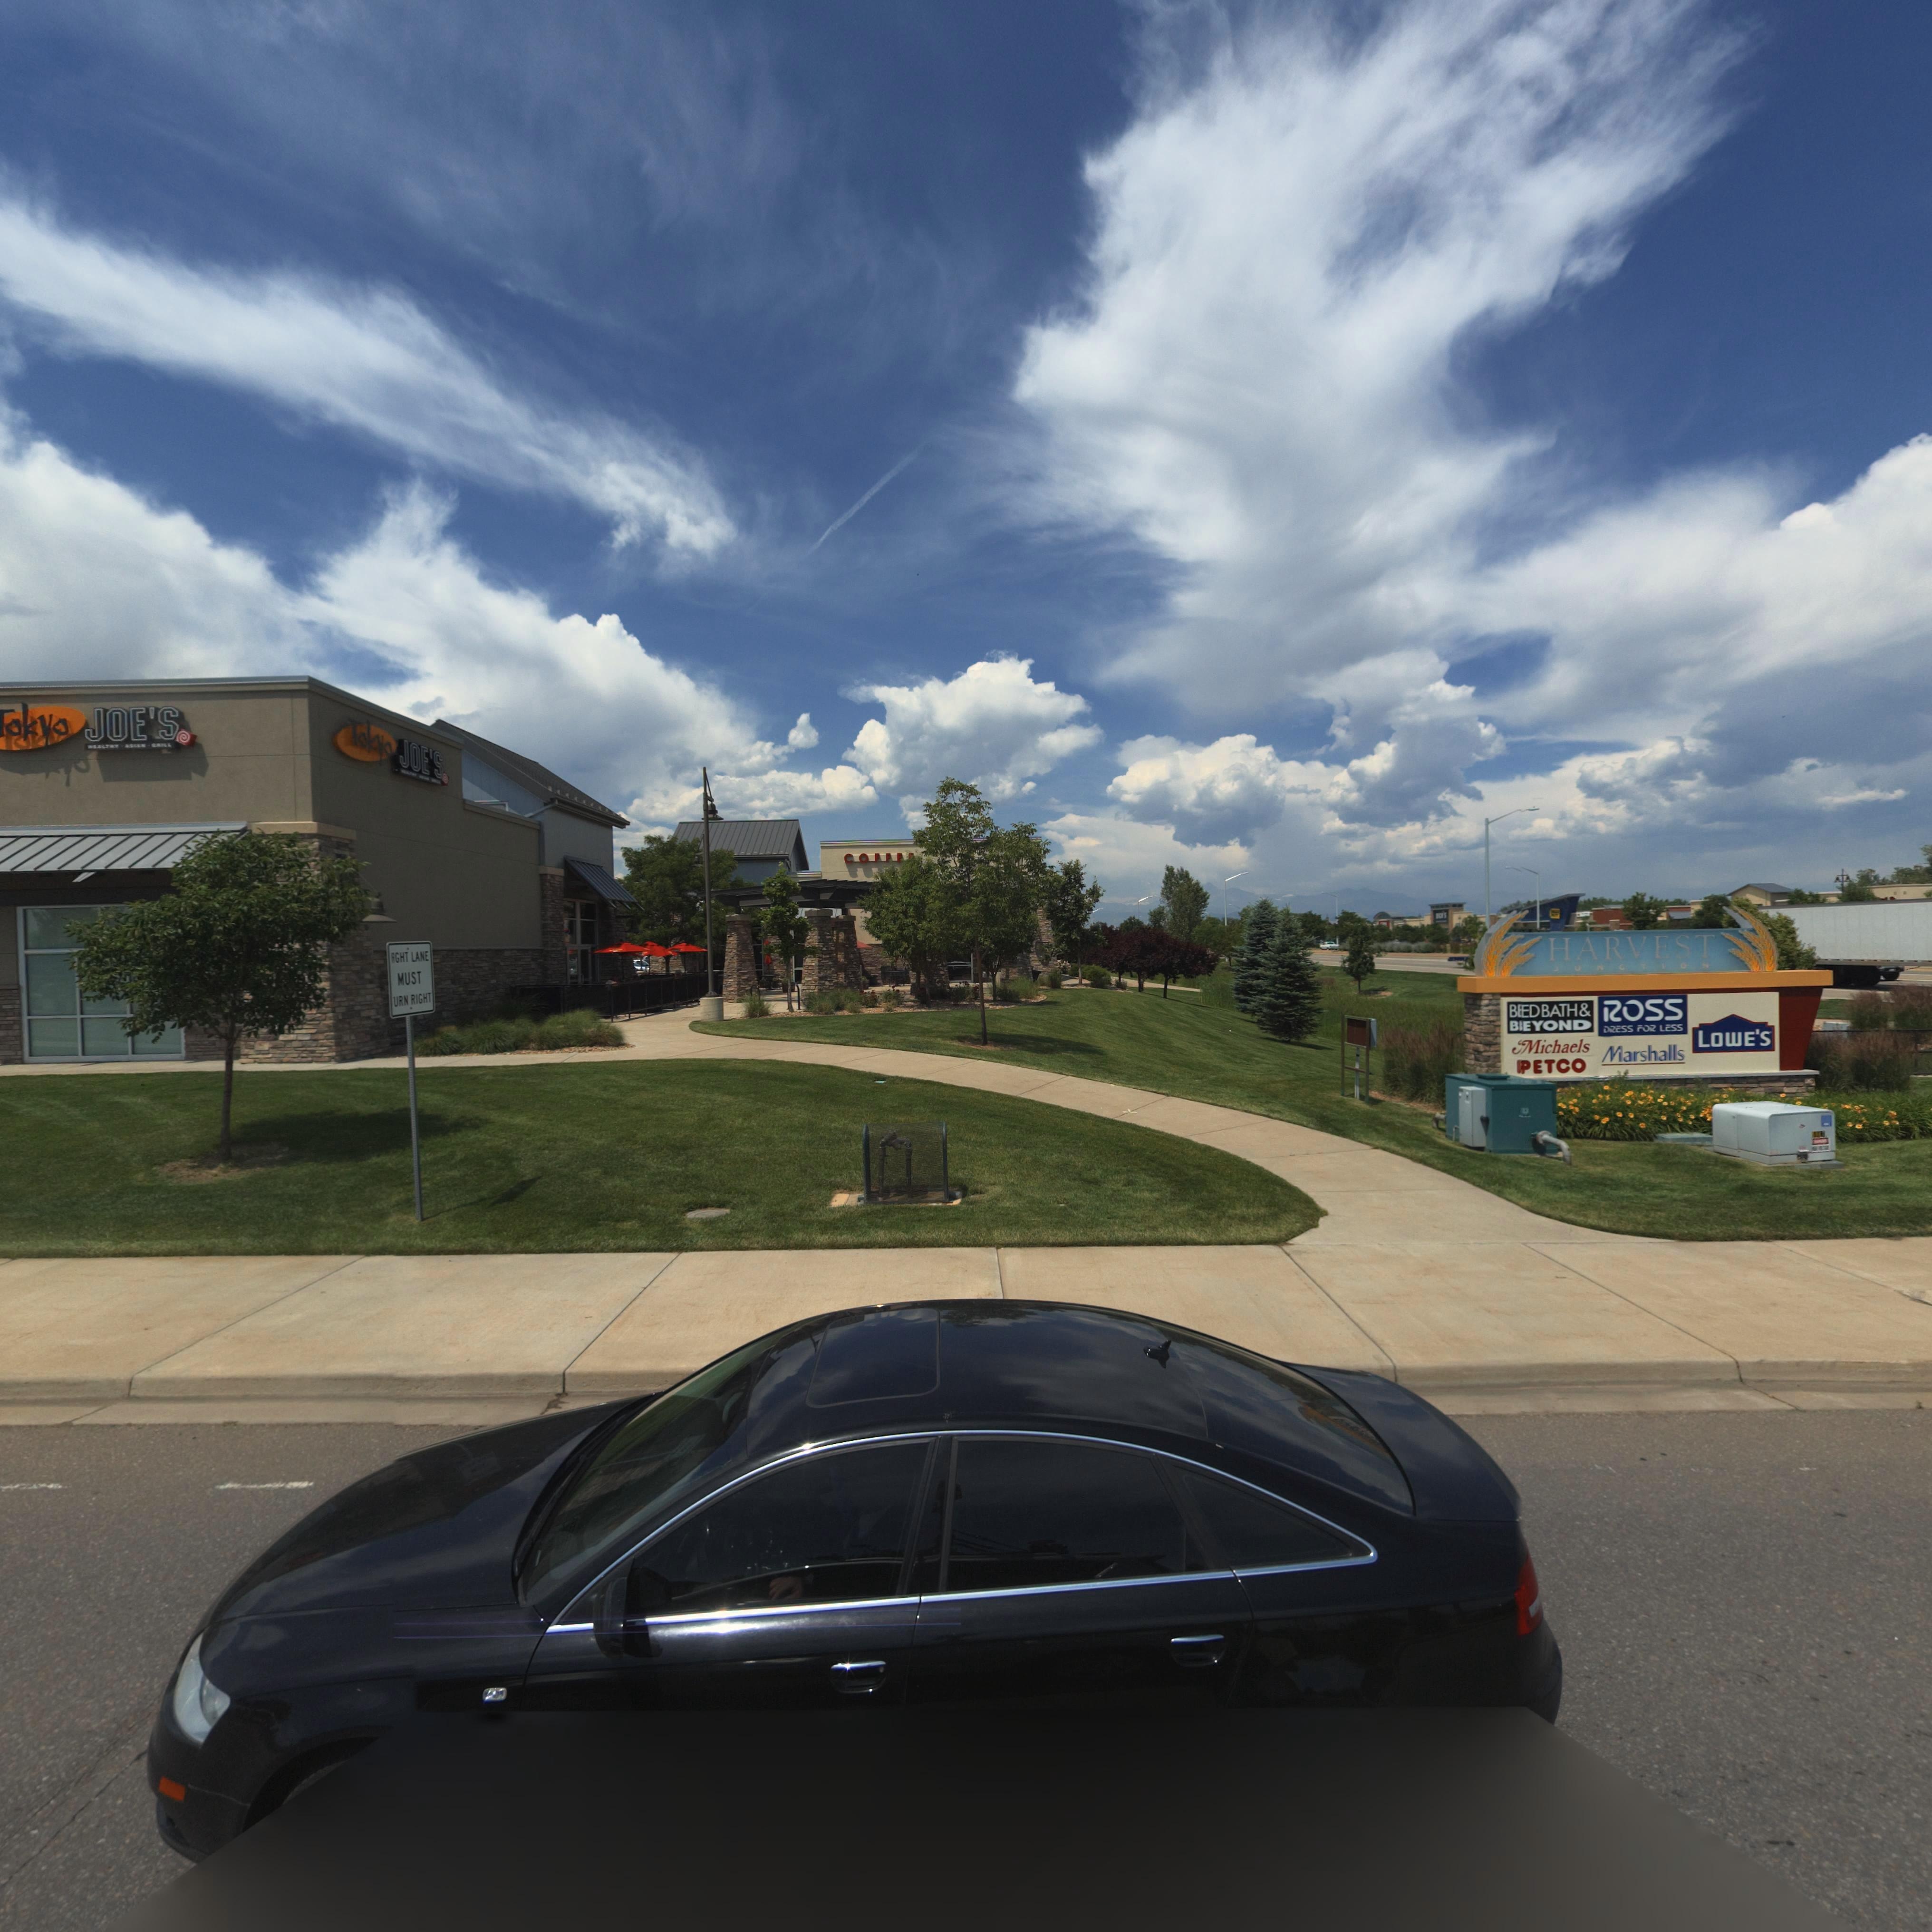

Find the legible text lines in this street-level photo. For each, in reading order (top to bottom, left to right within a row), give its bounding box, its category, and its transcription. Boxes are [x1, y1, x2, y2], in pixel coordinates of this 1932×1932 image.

[4, 700, 70, 751] BusinessName: okyo
[84, 705, 180, 742] BusinessName: JOE'S
[346, 716, 394, 767] BusinessName: Tokyo
[398, 738, 444, 779] BusinessName: JOE'S
[1435, 912, 1447, 919] BusinessName: **CKS
[1550, 913, 1558, 917] BusinessName: *UY
[1550, 909, 1559, 913] BusinessName: *EST
[1508, 1002, 1591, 1018] BusinessName: B*ED BATH *
[1603, 997, 1684, 1022] BusinessName: ROSS
[1509, 1019, 1592, 1032] BusinessName: B*EYOND
[1510, 1038, 1591, 1054] BusinessName: Michaels
[1601, 1043, 1686, 1063] BusinessName: Marshalls
[1698, 1027, 1772, 1047] BusinessName: LOWE'S
[1516, 1057, 1586, 1074] BusinessName: *PETCO